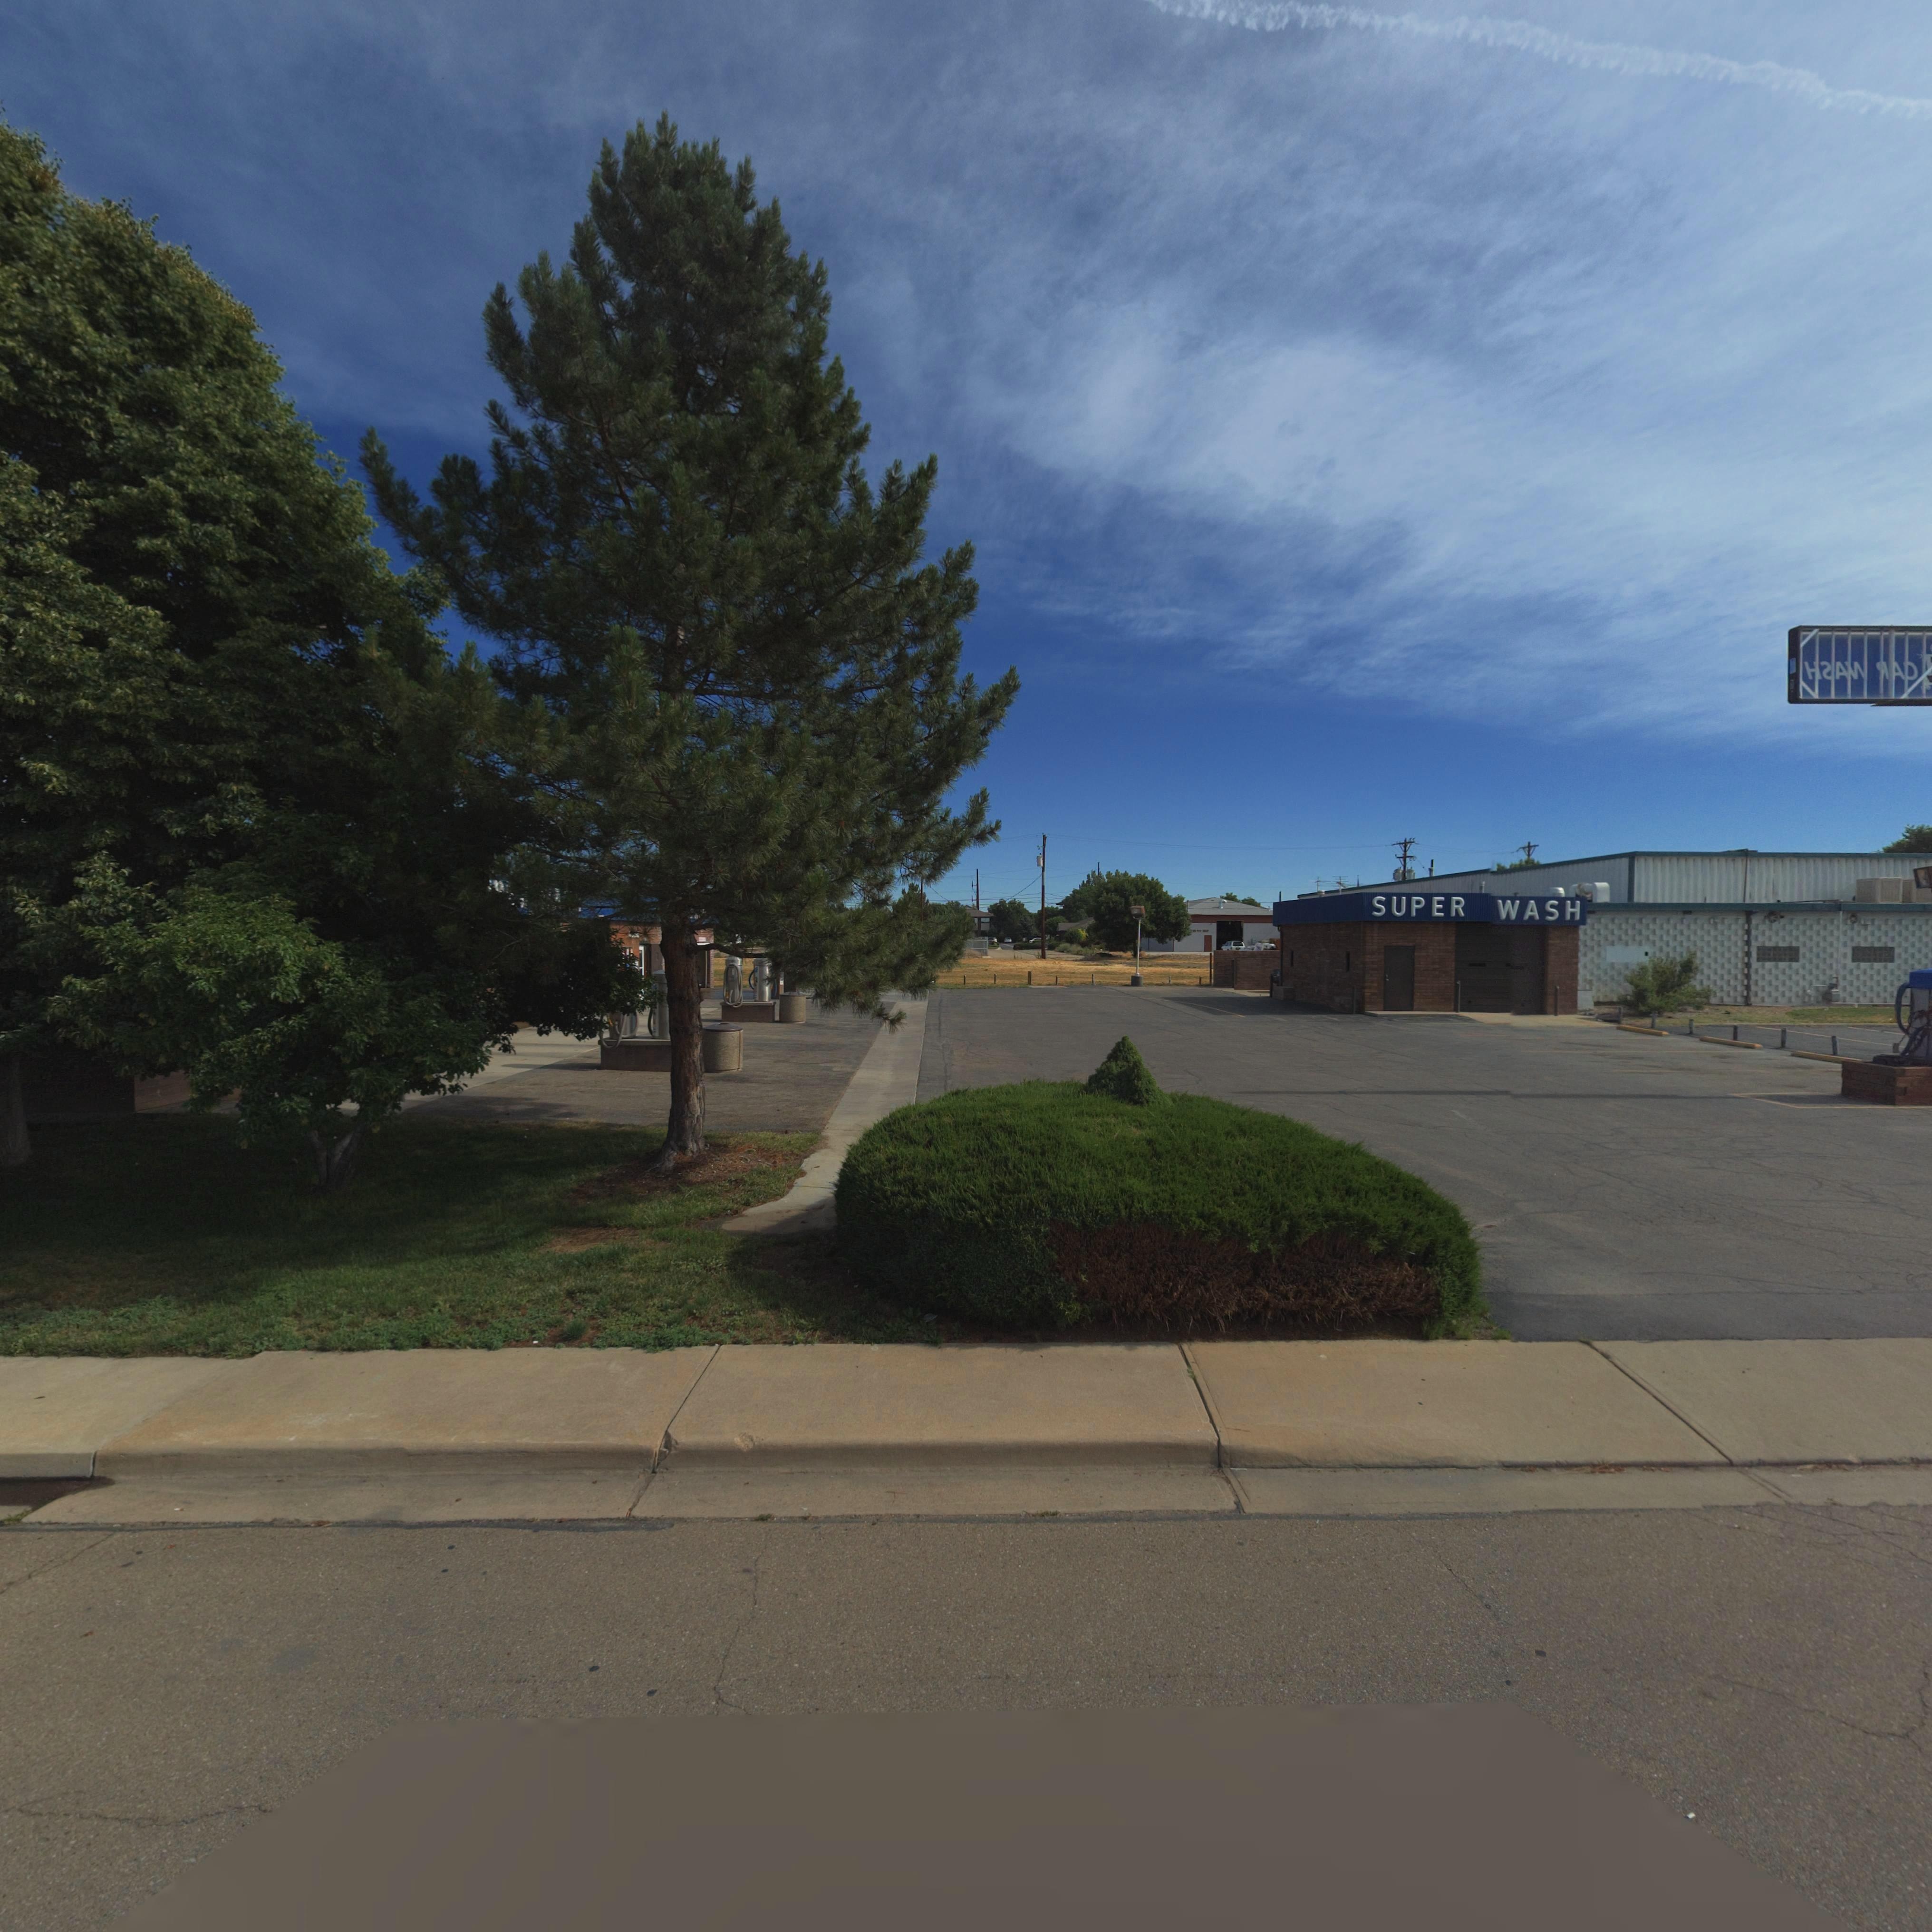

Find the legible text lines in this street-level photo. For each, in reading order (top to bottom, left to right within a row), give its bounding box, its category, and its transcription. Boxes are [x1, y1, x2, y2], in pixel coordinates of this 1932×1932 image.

[1371, 896, 1580, 921] BusinessName: SUPER WASH